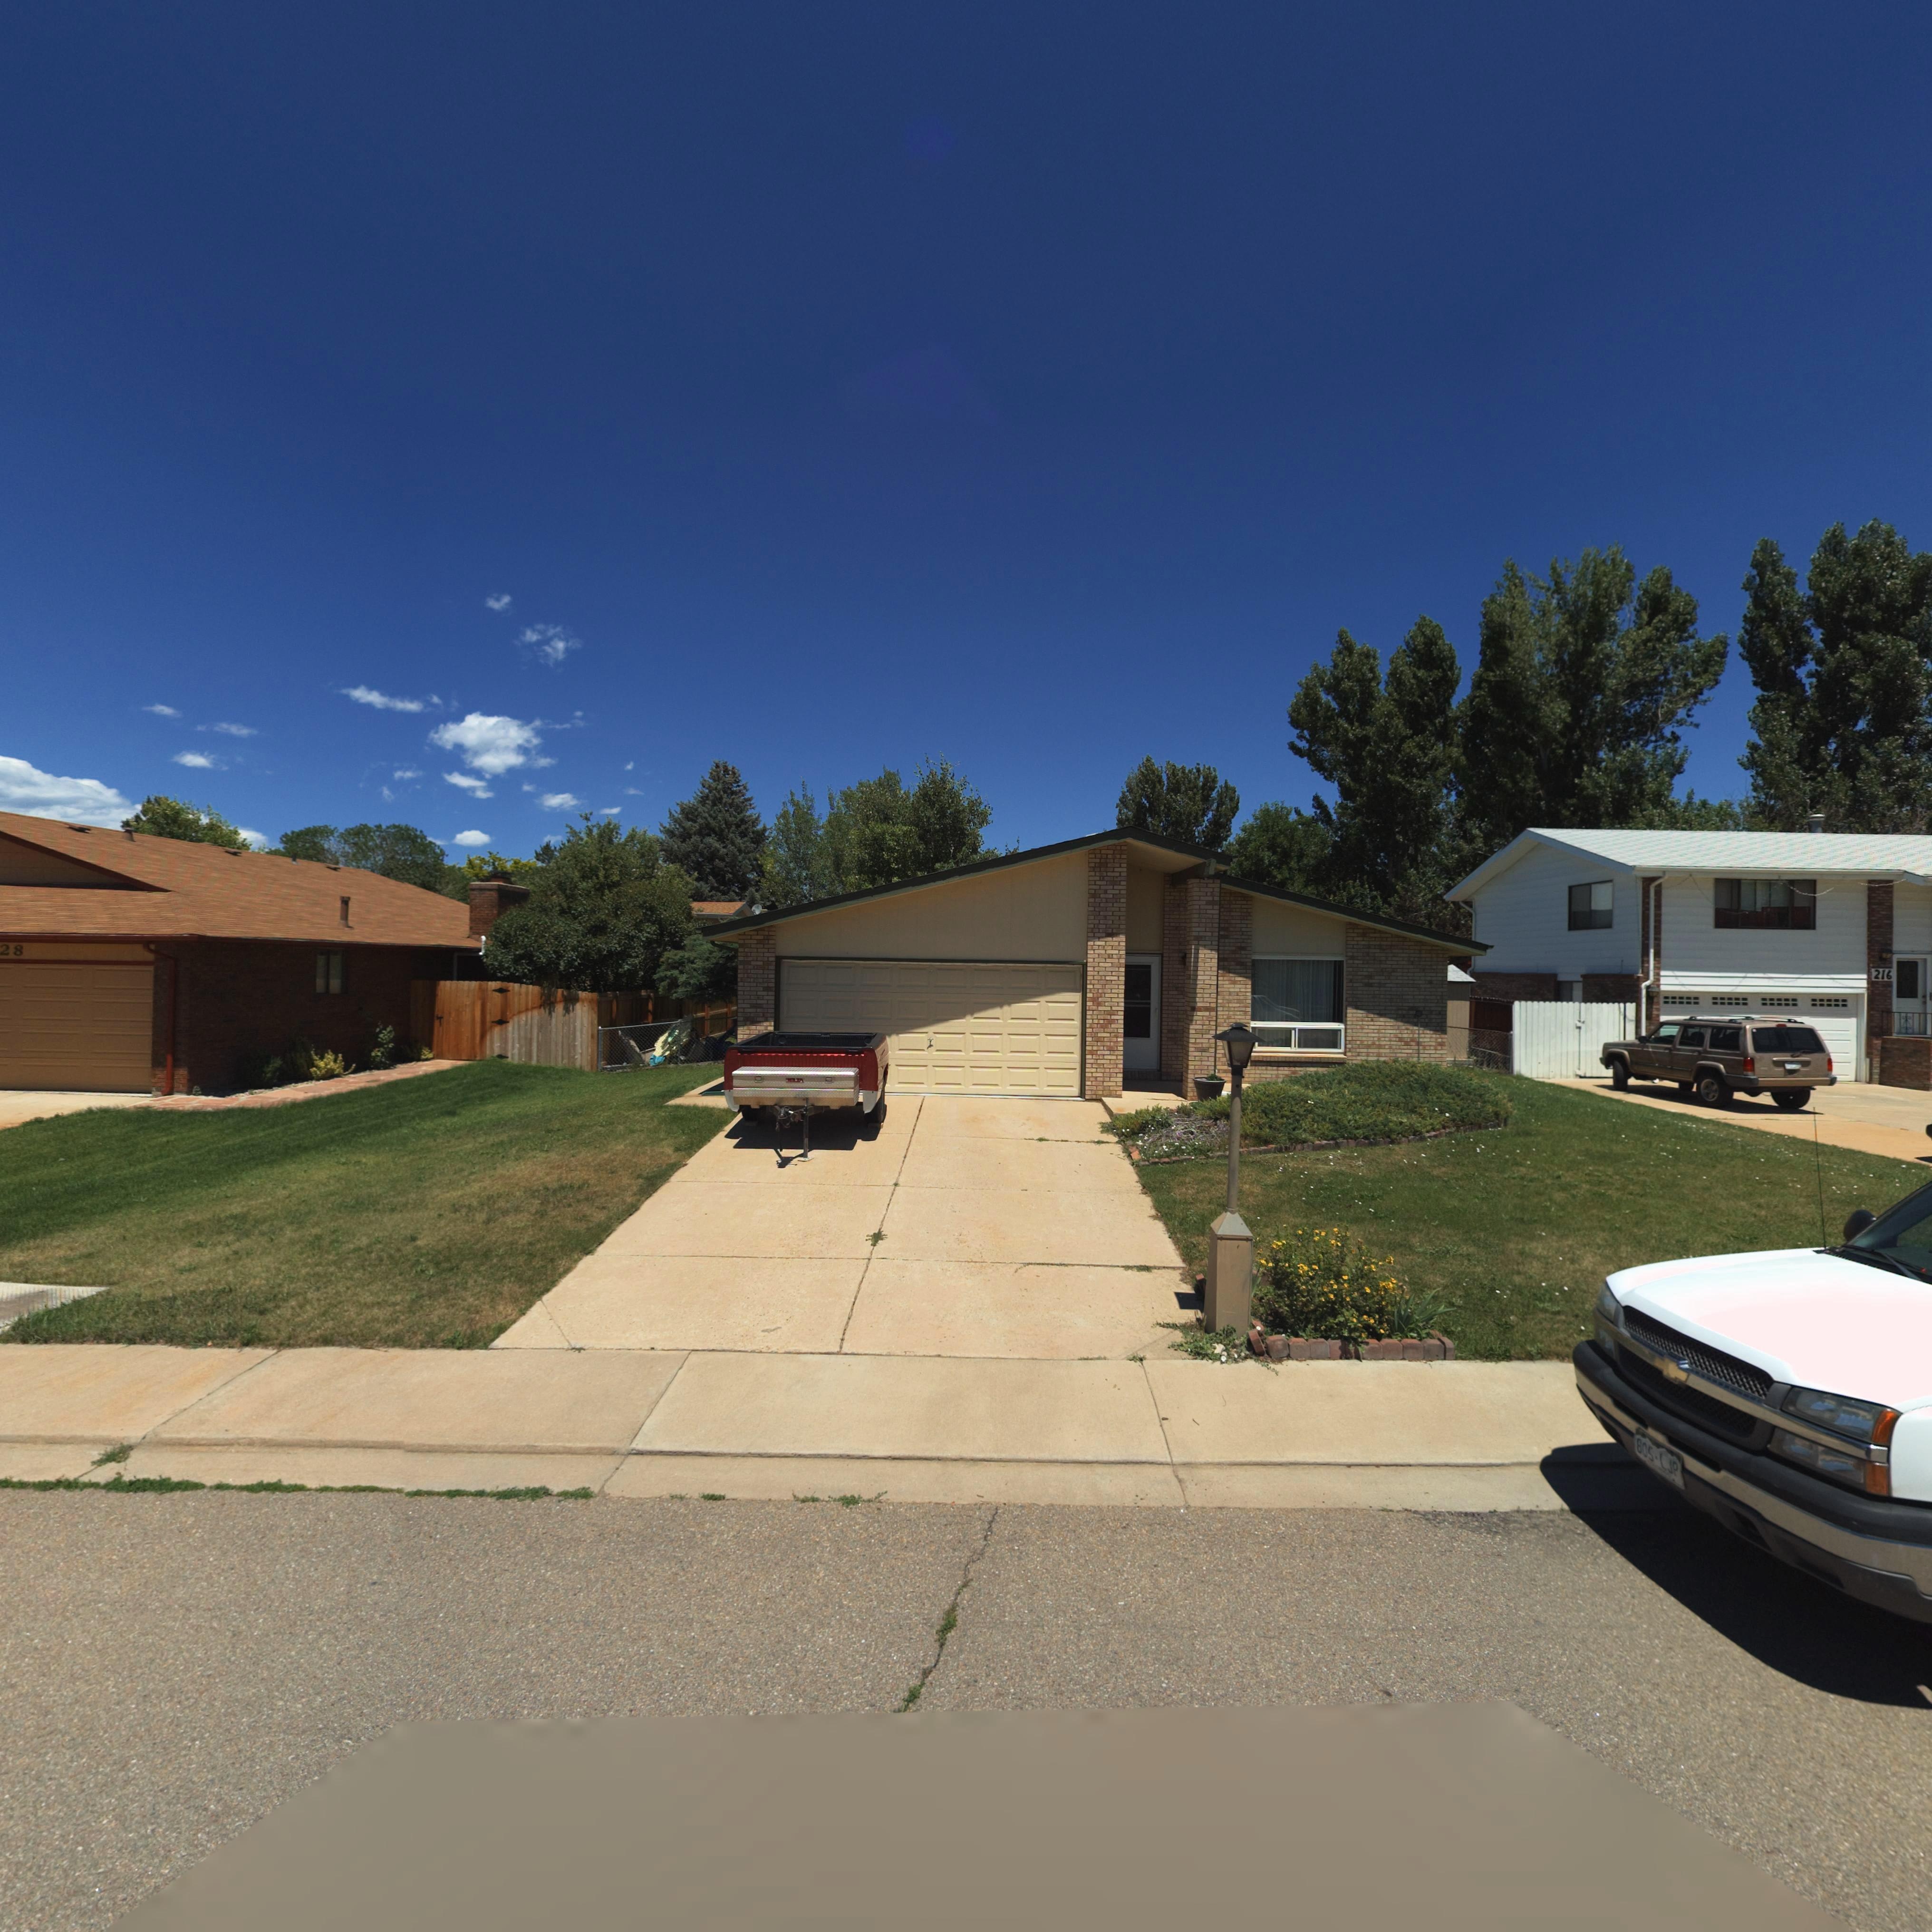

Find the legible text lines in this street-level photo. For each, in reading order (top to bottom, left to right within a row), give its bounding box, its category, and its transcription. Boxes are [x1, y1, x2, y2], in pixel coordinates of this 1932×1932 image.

[0, 944, 23, 956] StreetNumber: *28
[1874, 969, 1893, 980] StreetNumber: 216